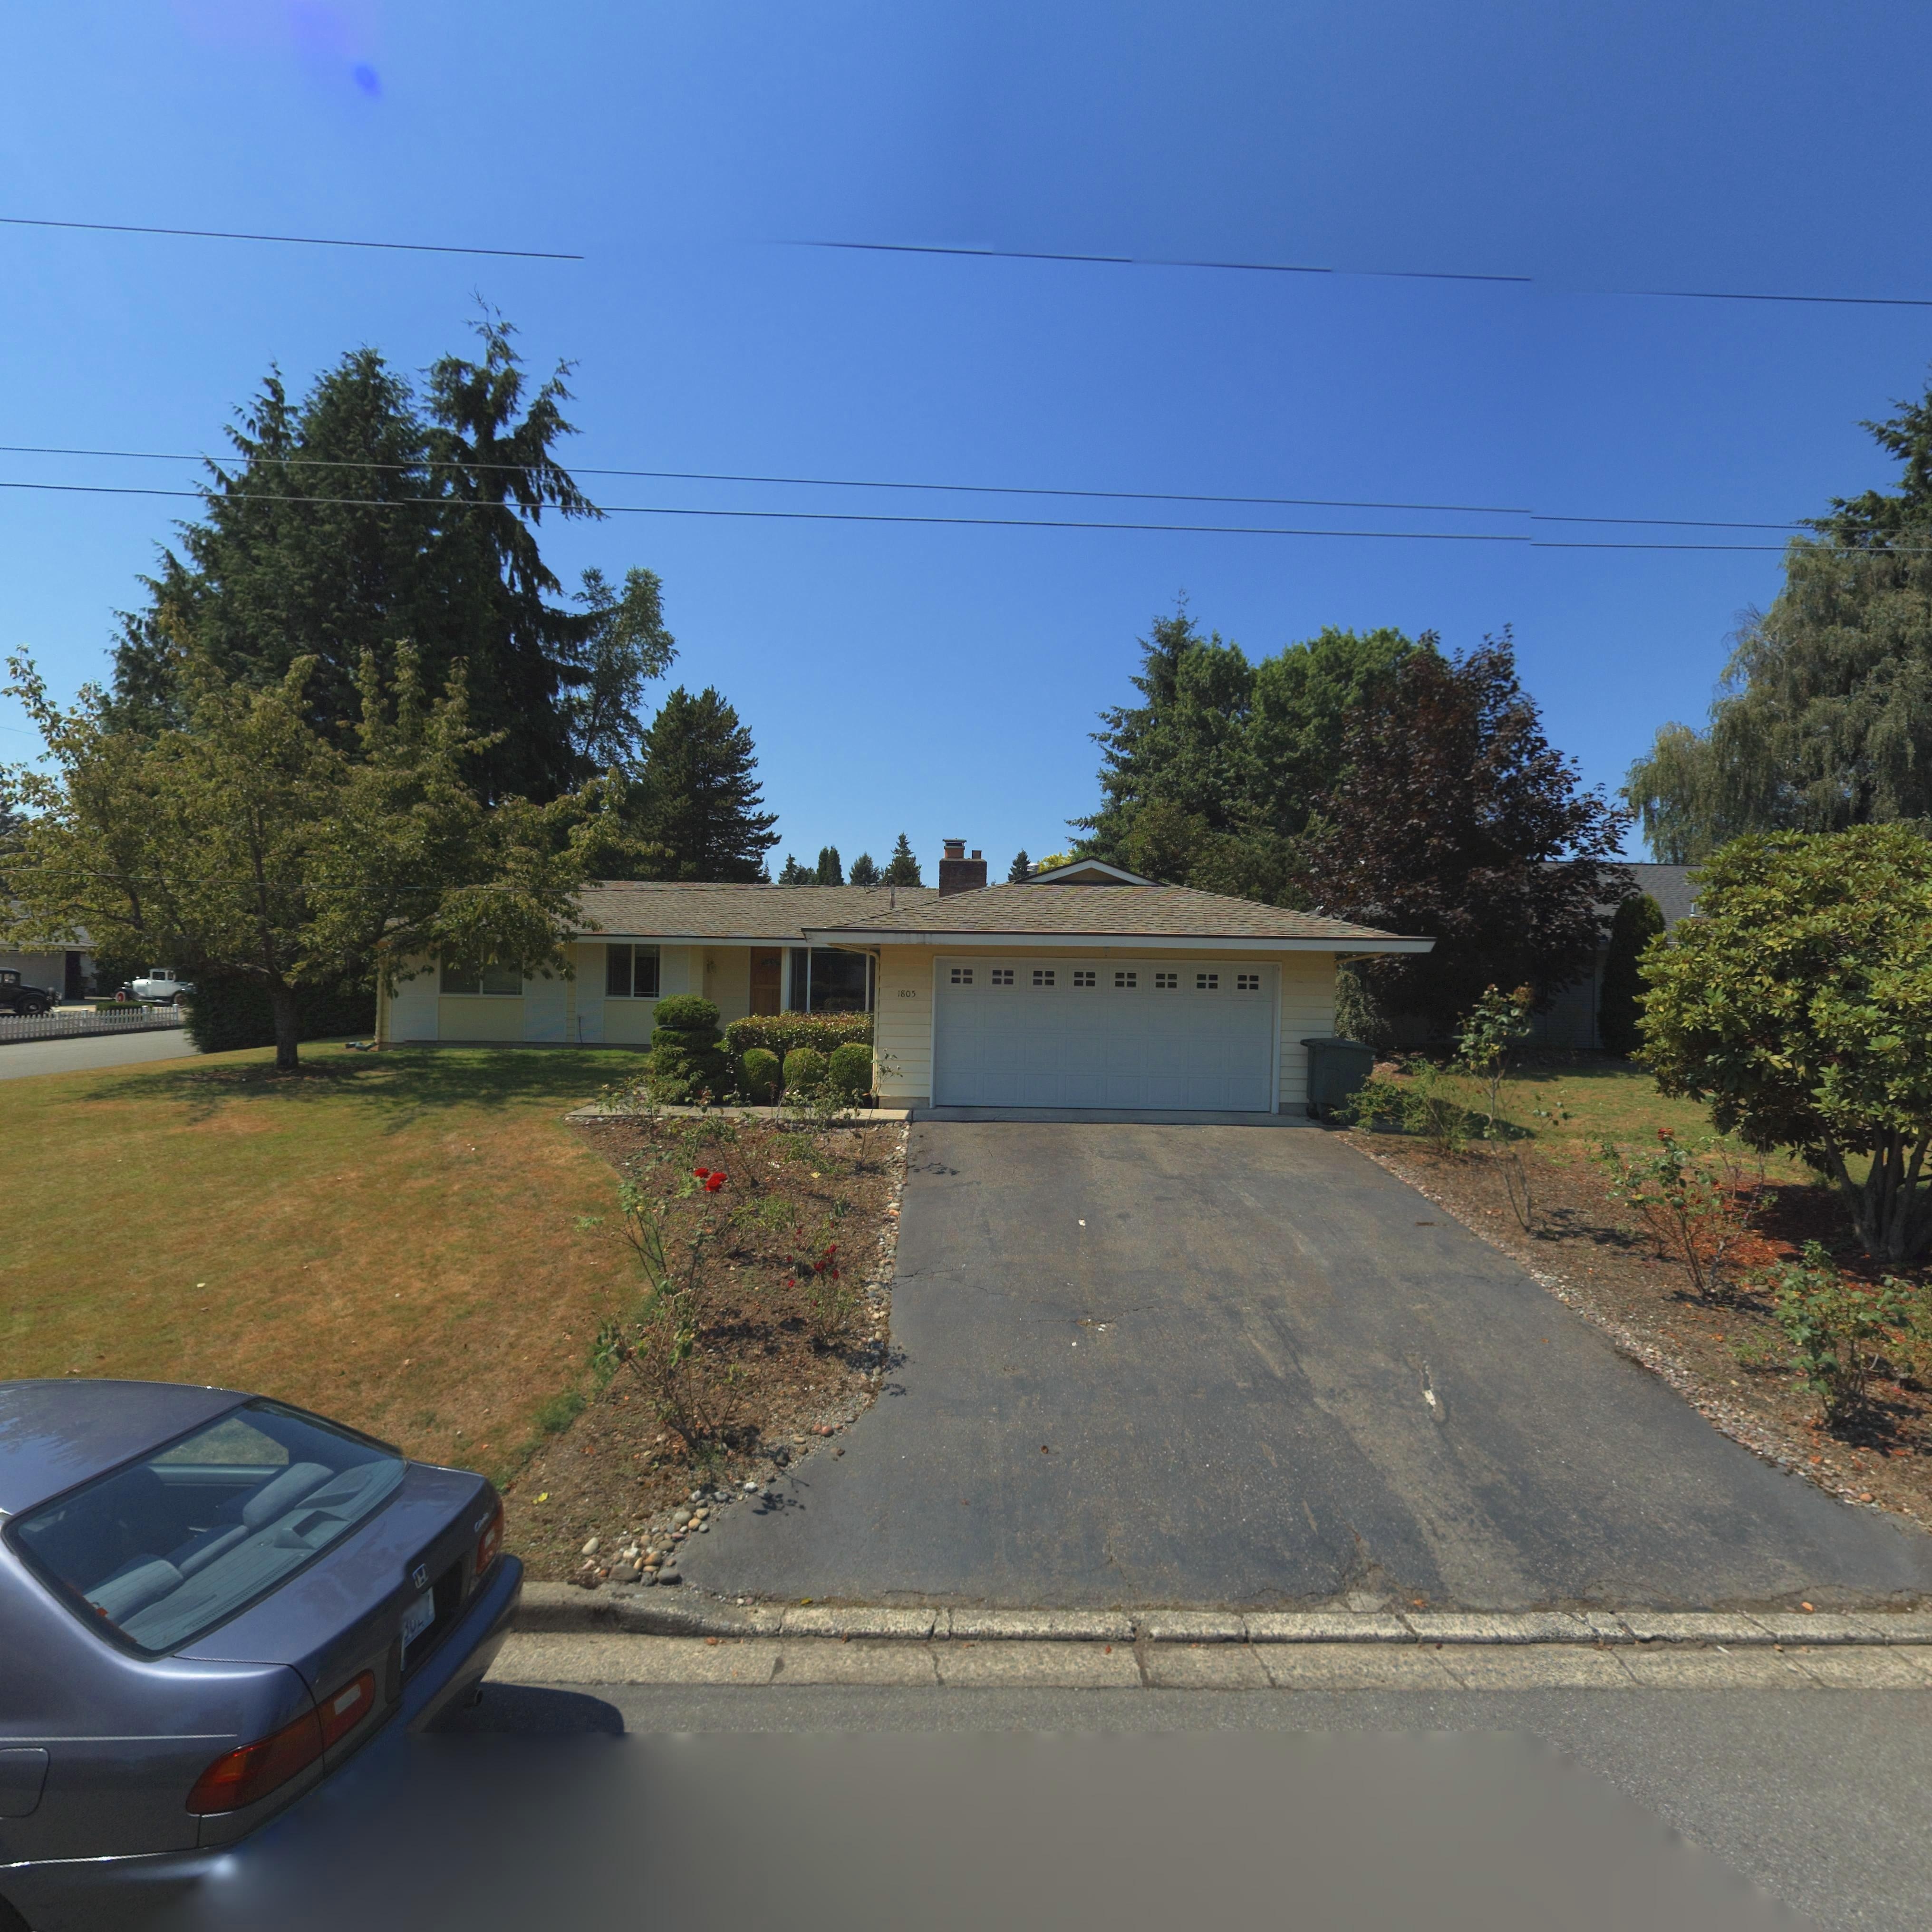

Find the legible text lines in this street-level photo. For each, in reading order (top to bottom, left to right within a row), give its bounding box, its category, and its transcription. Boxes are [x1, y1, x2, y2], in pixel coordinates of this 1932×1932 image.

[896, 989, 916, 998] StreetNumber: 1805